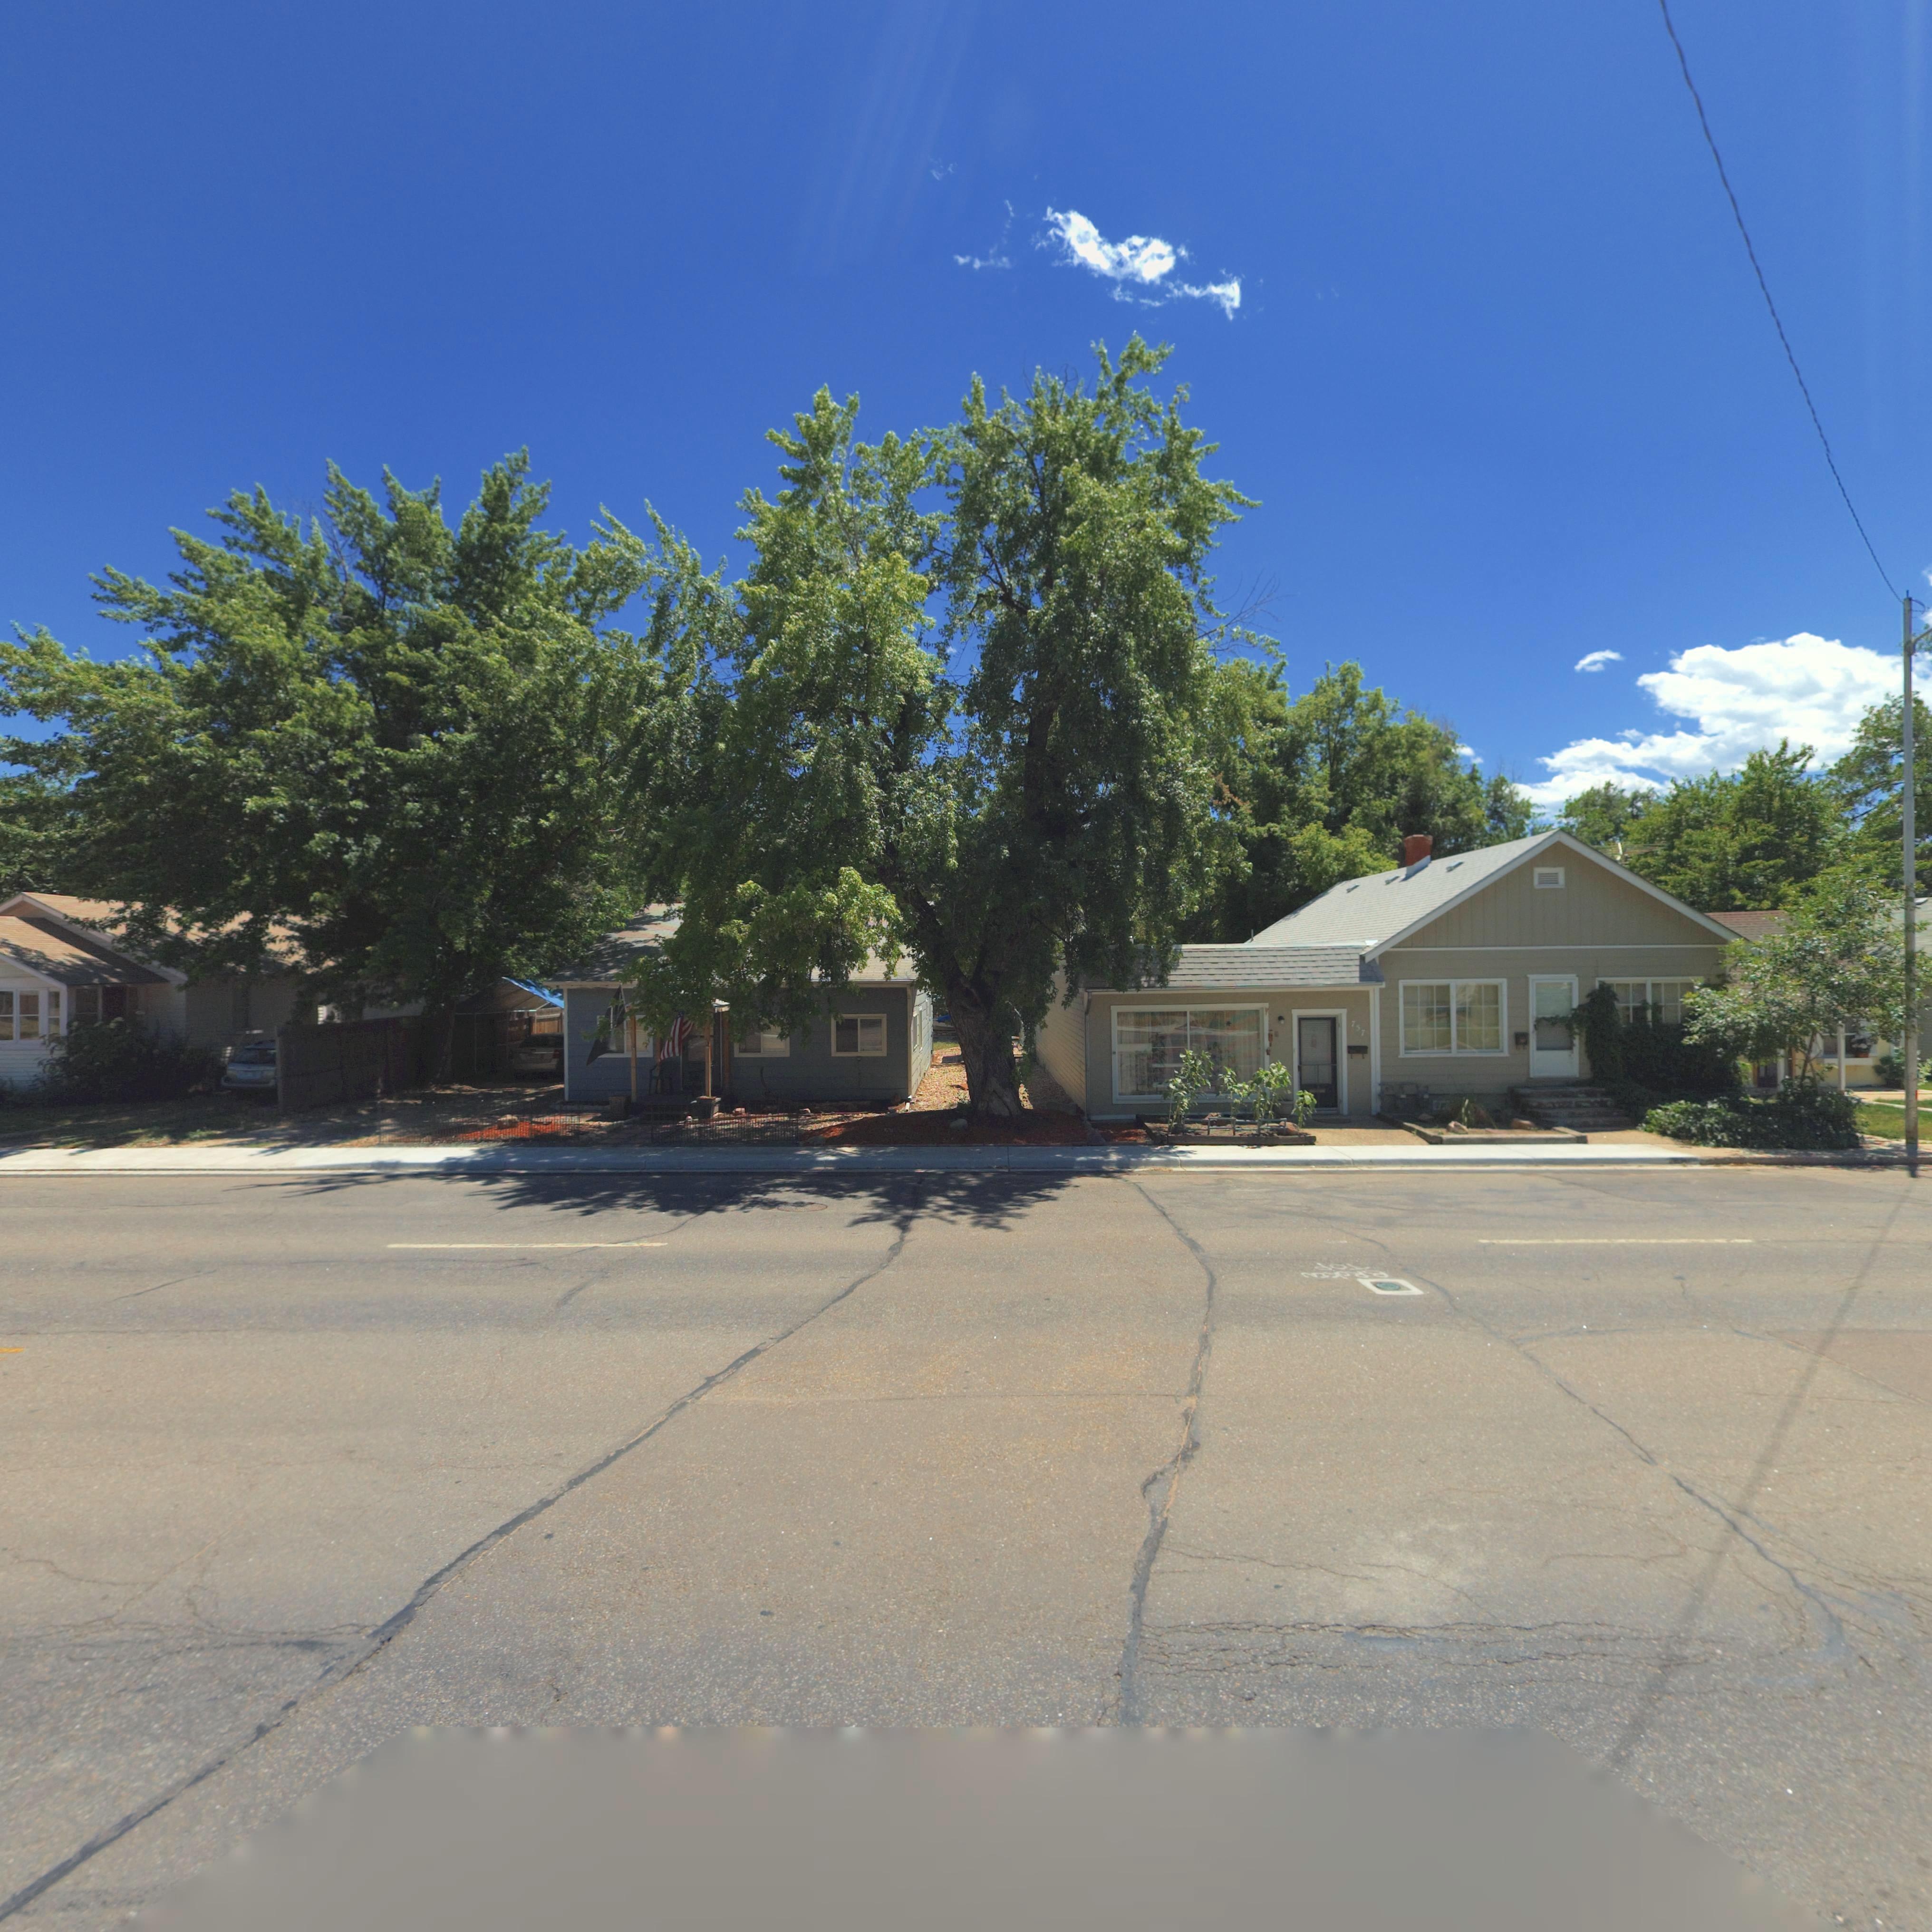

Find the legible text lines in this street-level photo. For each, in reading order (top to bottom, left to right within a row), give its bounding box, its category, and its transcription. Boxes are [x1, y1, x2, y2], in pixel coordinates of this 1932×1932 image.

[1351, 1020, 1365, 1036] StreetNumber: 757